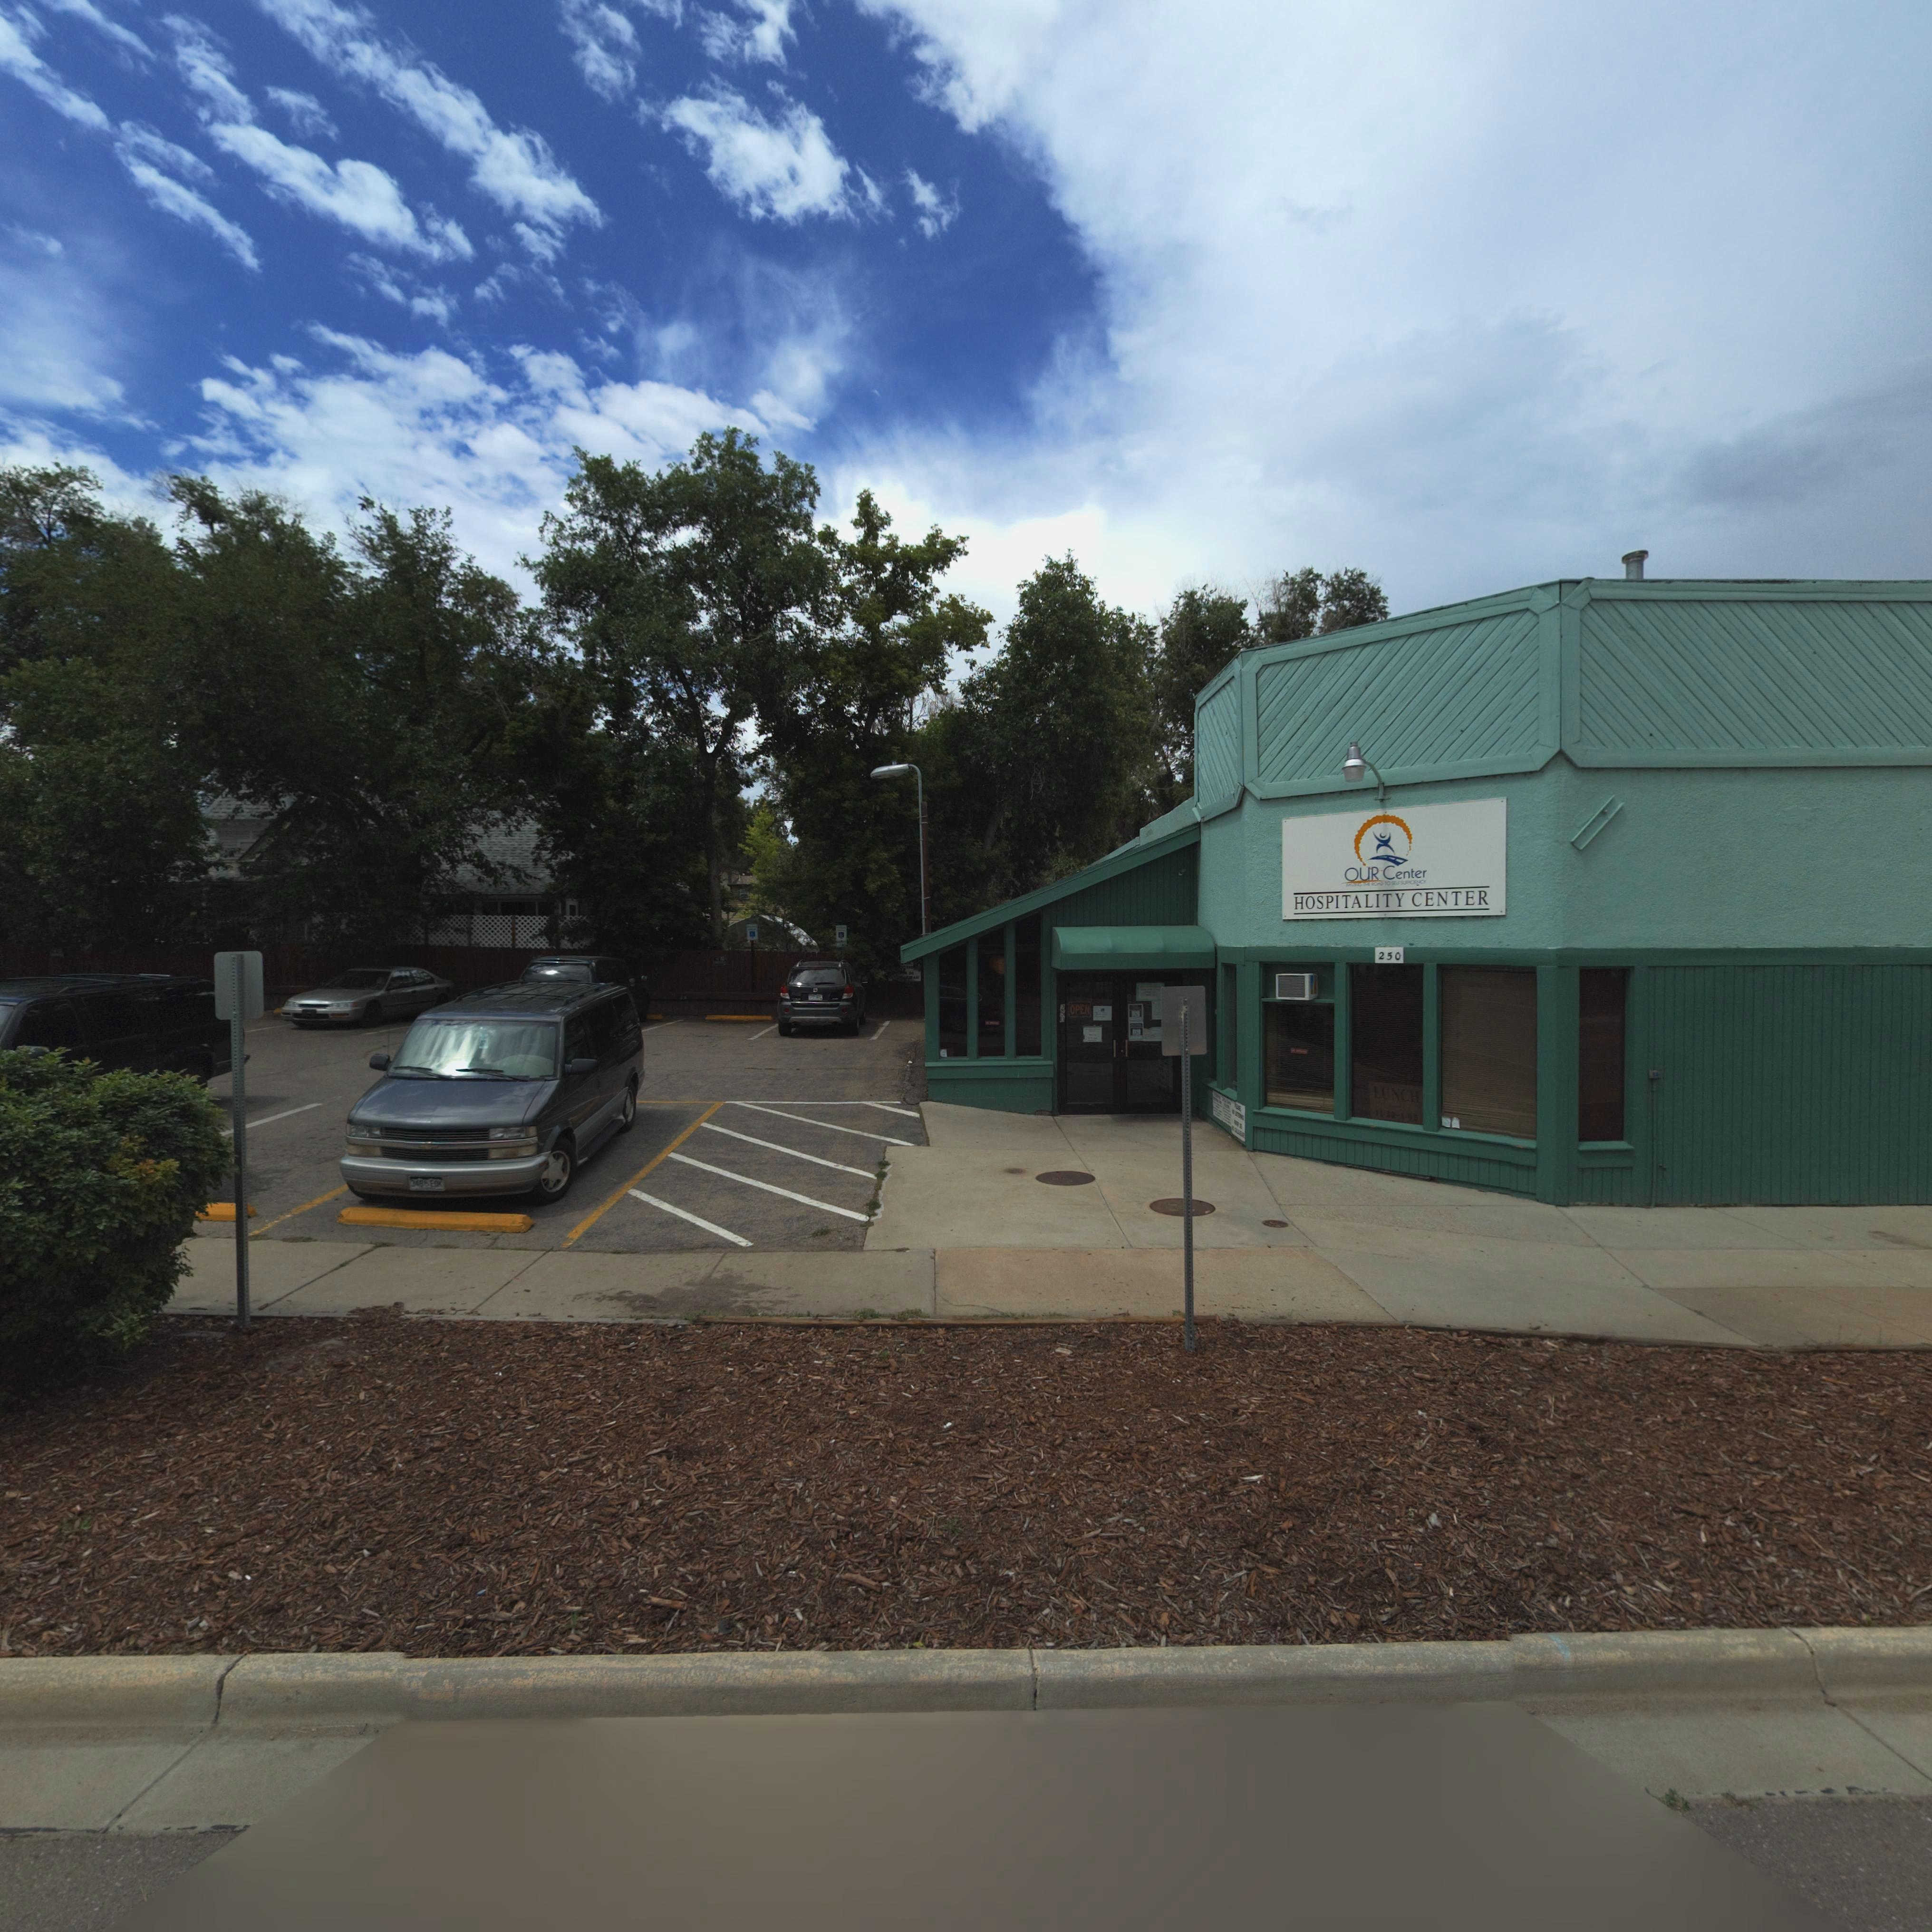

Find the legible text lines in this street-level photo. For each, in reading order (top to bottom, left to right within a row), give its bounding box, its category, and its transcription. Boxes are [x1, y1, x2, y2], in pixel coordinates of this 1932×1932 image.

[1343, 865, 1427, 882] BusinessName: OUR Center
[1378, 951, 1401, 960] StreetNumber: 250
[1060, 1004, 1064, 1022] StreetNumber: 250